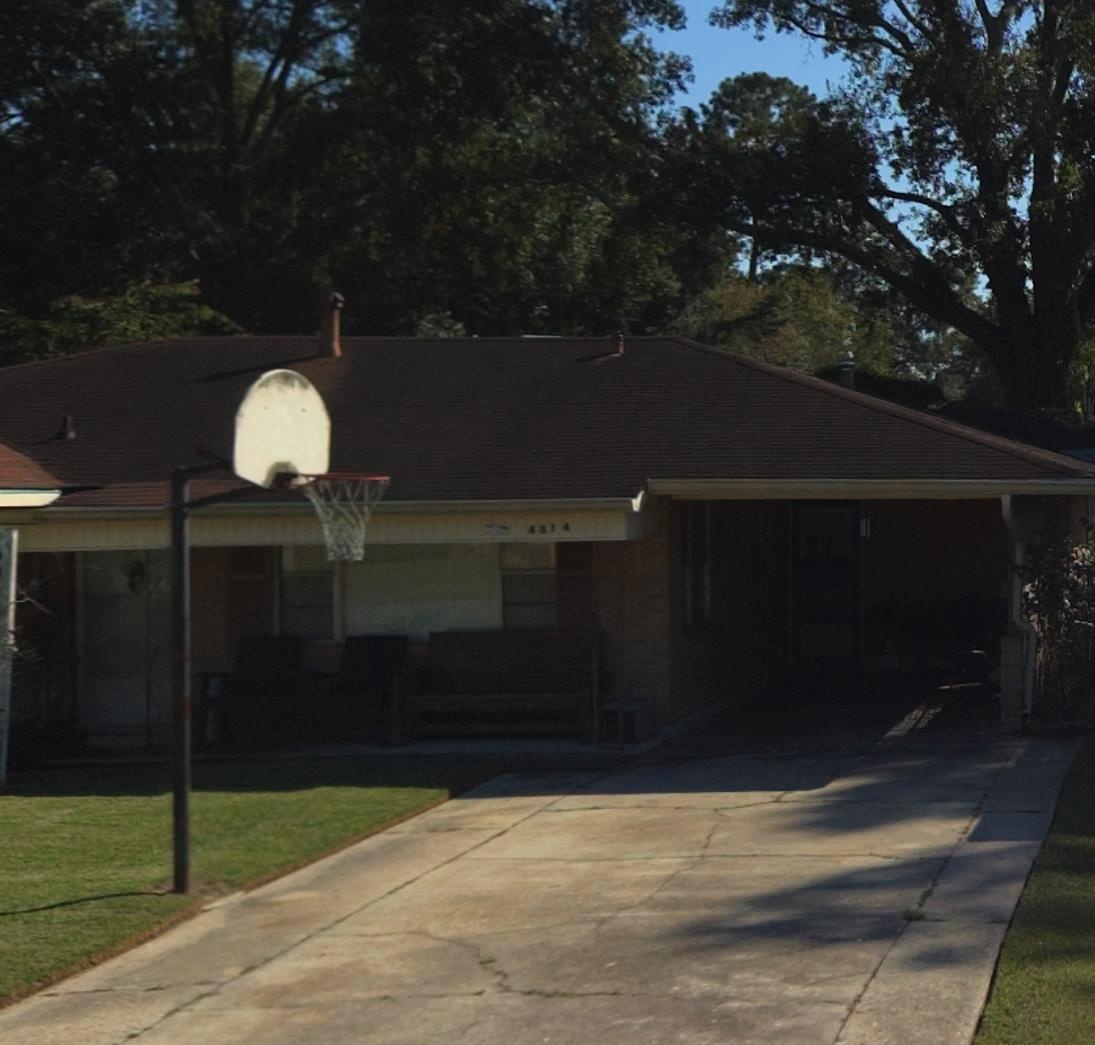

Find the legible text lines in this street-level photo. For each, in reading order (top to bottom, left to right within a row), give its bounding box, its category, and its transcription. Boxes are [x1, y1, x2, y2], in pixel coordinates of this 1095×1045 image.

[528, 520, 571, 536] StreetNumber: 4814